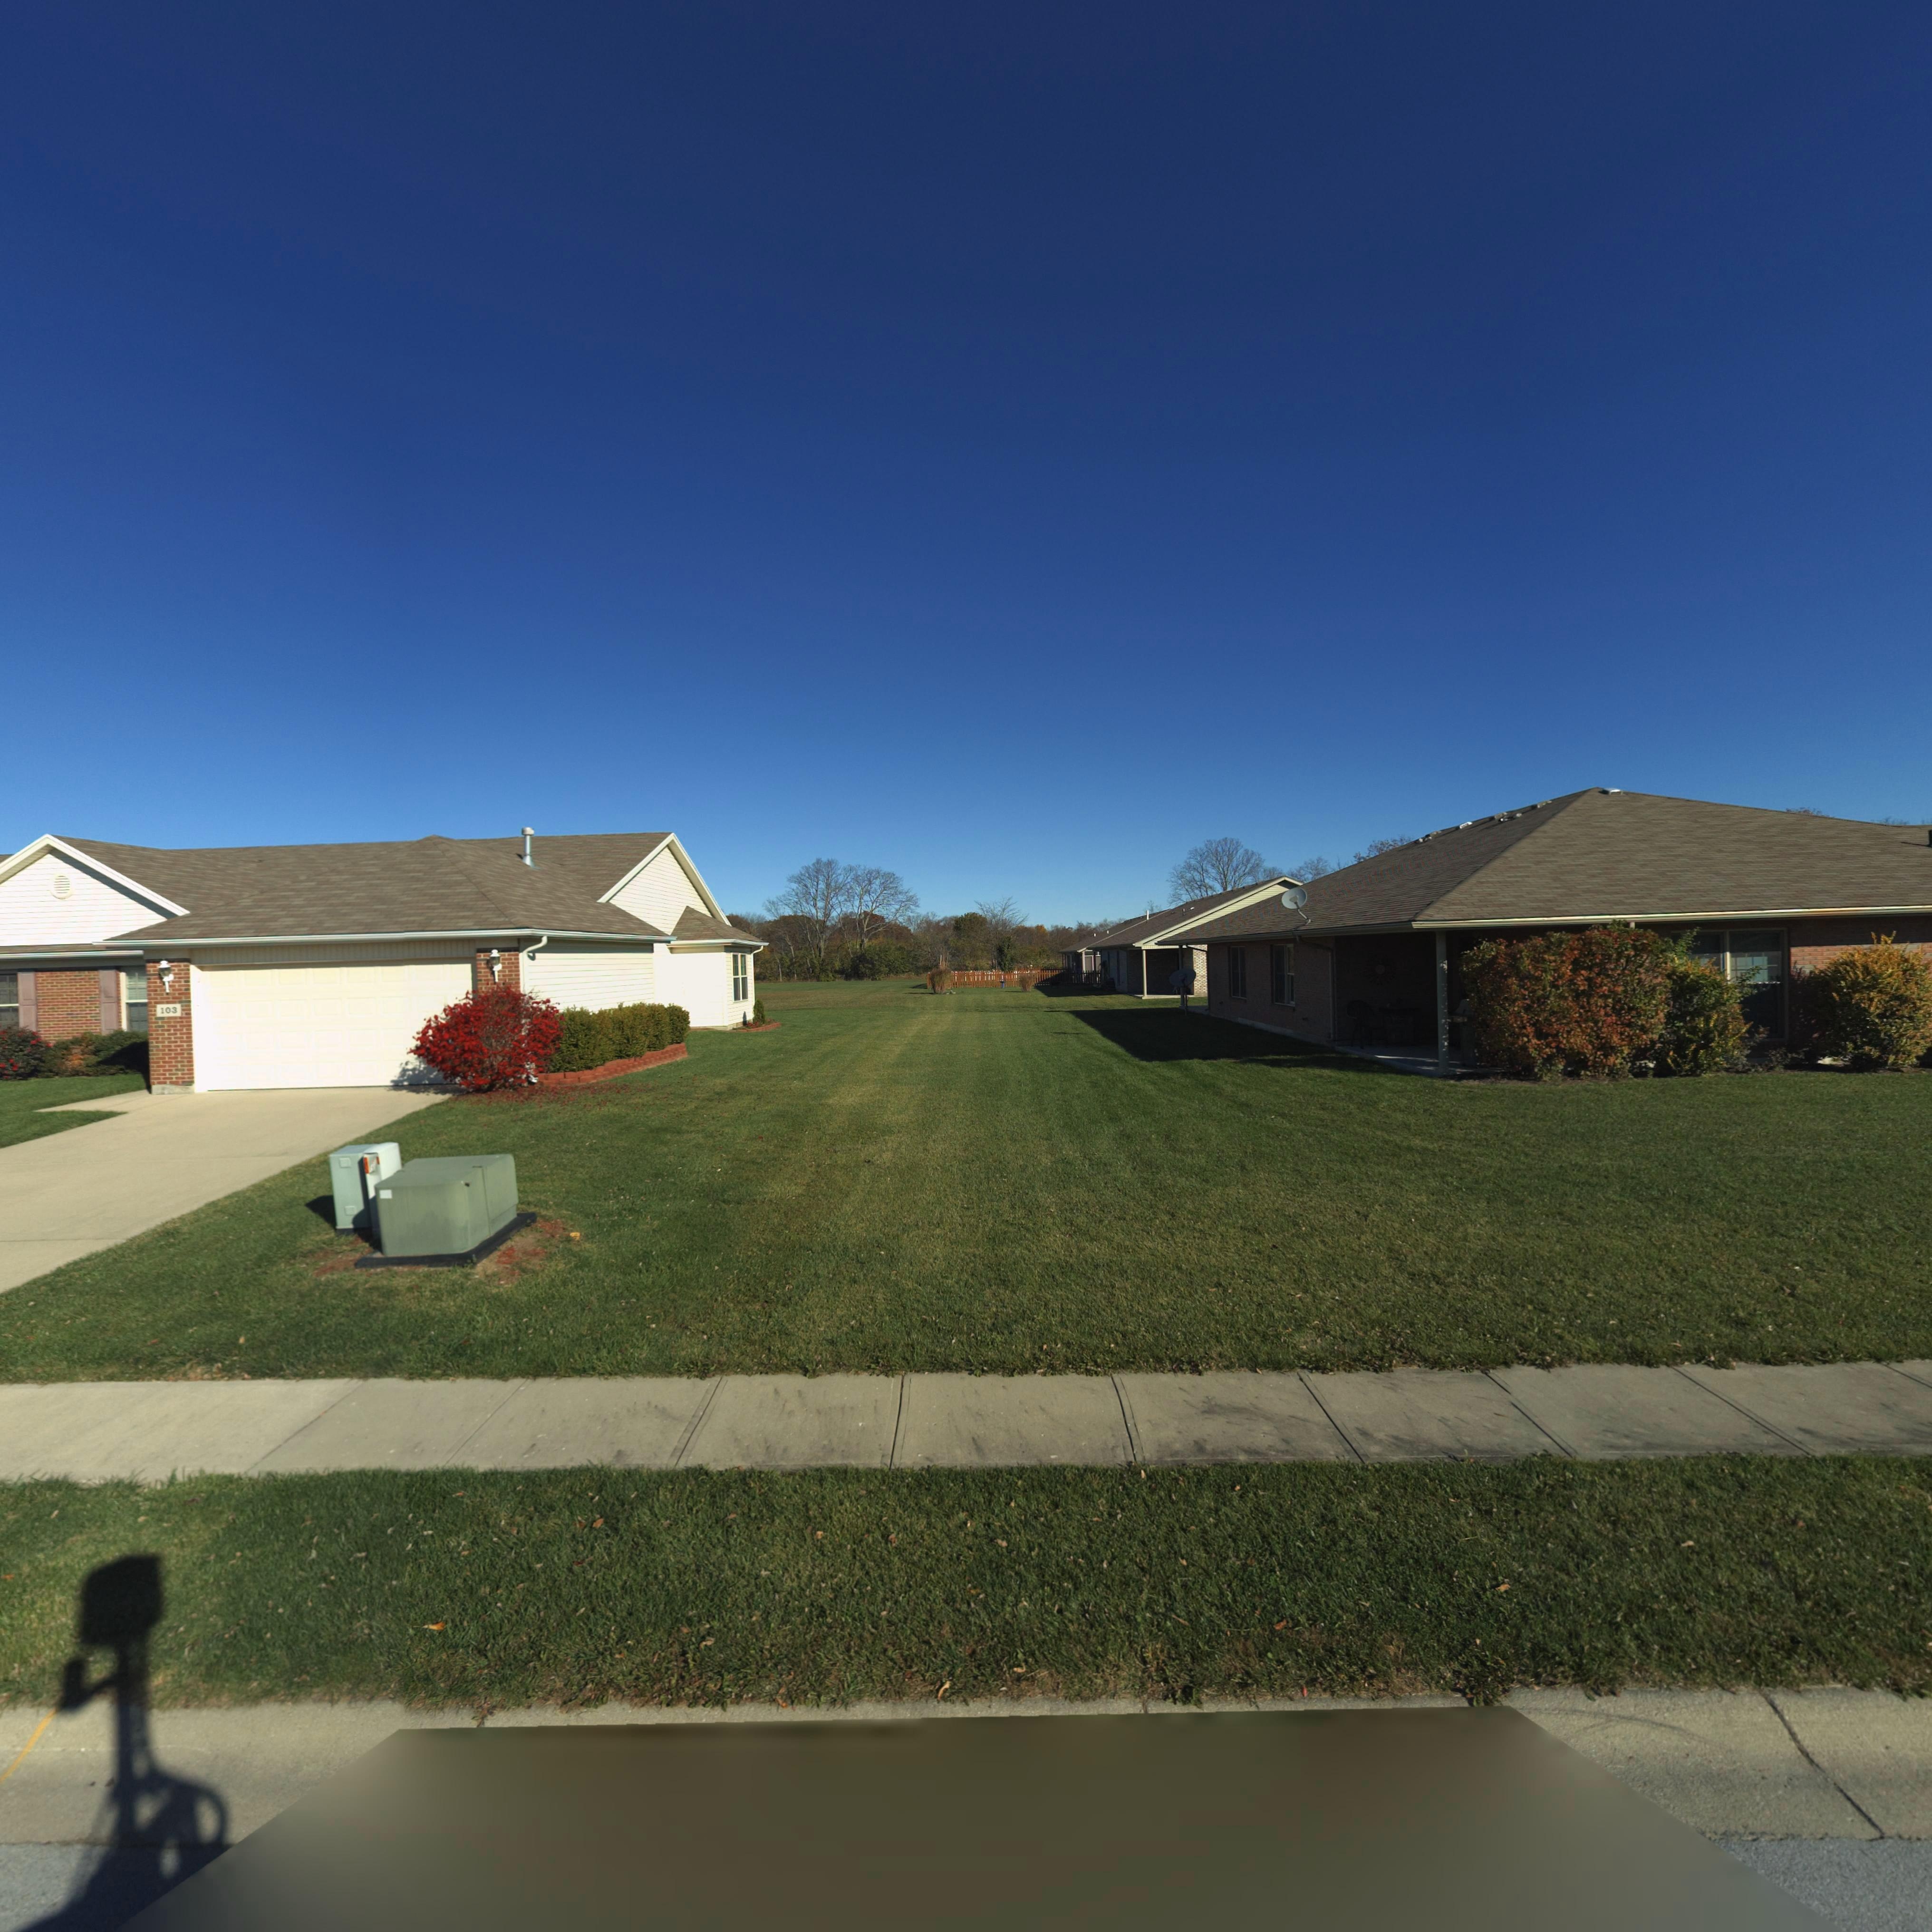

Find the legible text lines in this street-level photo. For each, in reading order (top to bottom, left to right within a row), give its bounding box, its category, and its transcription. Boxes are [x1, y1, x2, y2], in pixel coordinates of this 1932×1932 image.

[160, 1005, 178, 1015] StreetNumber: 103